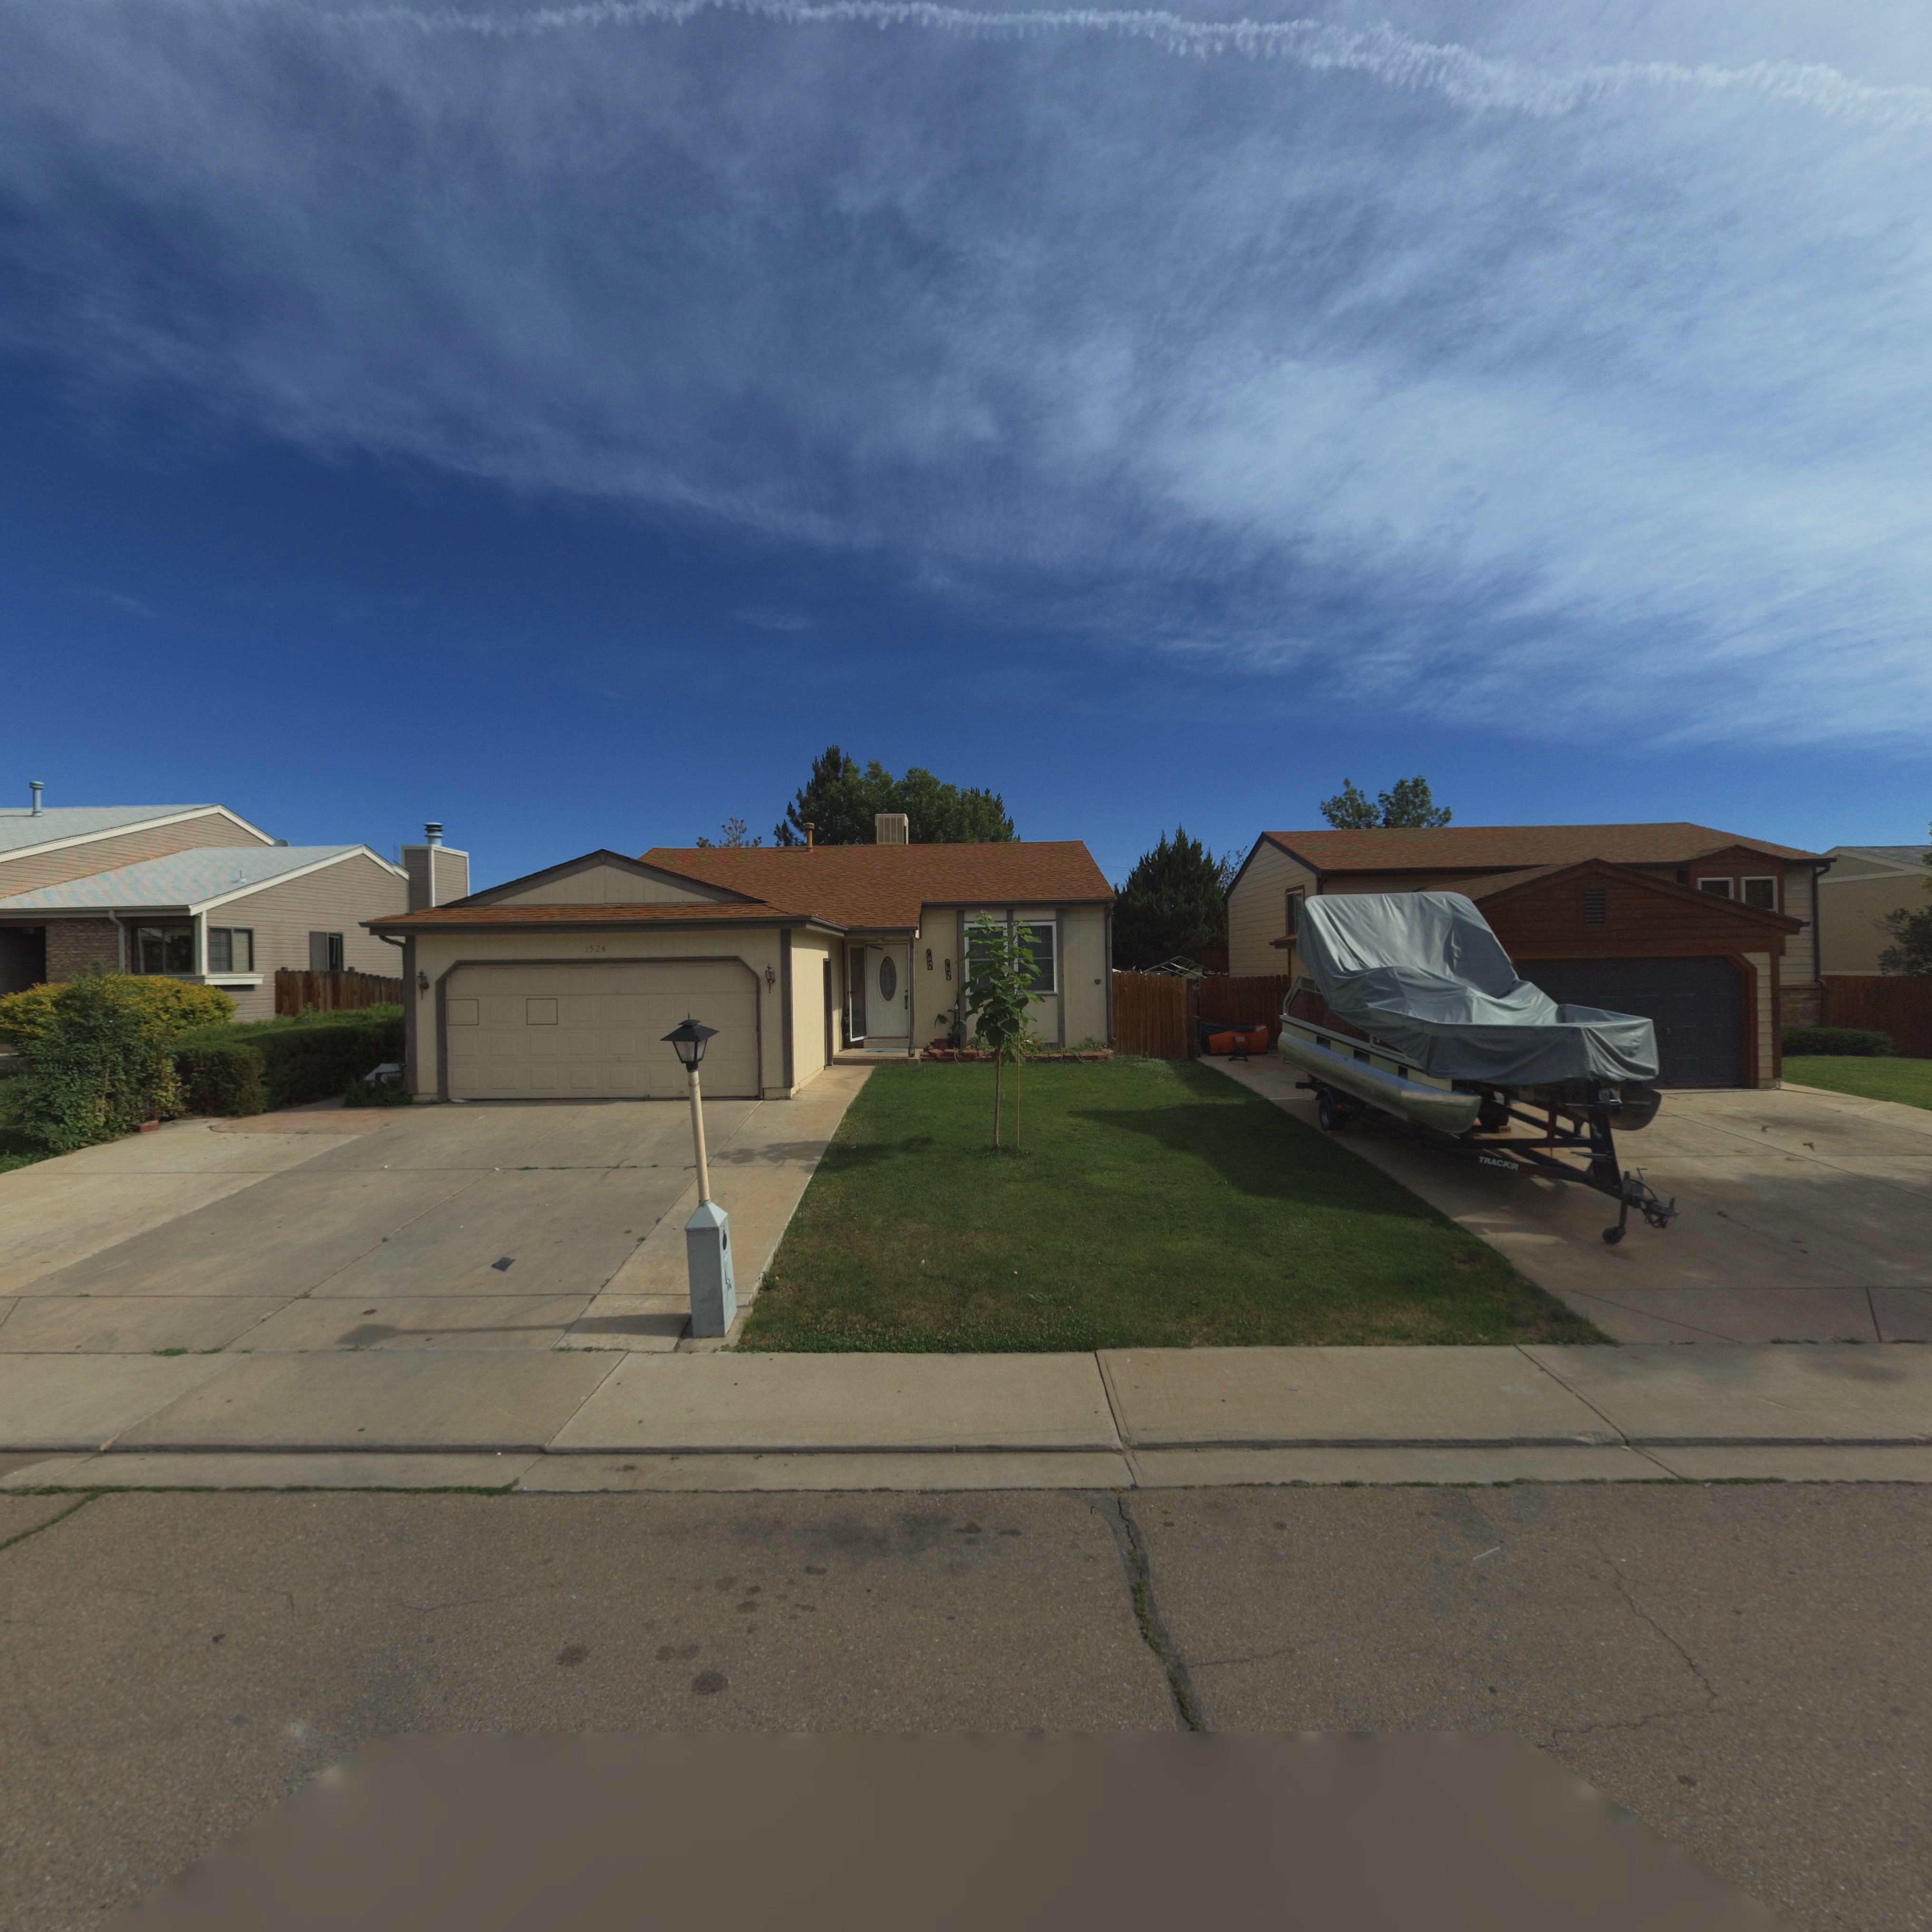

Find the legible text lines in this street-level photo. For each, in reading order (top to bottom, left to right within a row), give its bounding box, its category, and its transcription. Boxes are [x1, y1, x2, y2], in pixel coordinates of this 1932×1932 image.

[585, 944, 606, 953] StreetNumber: 1524